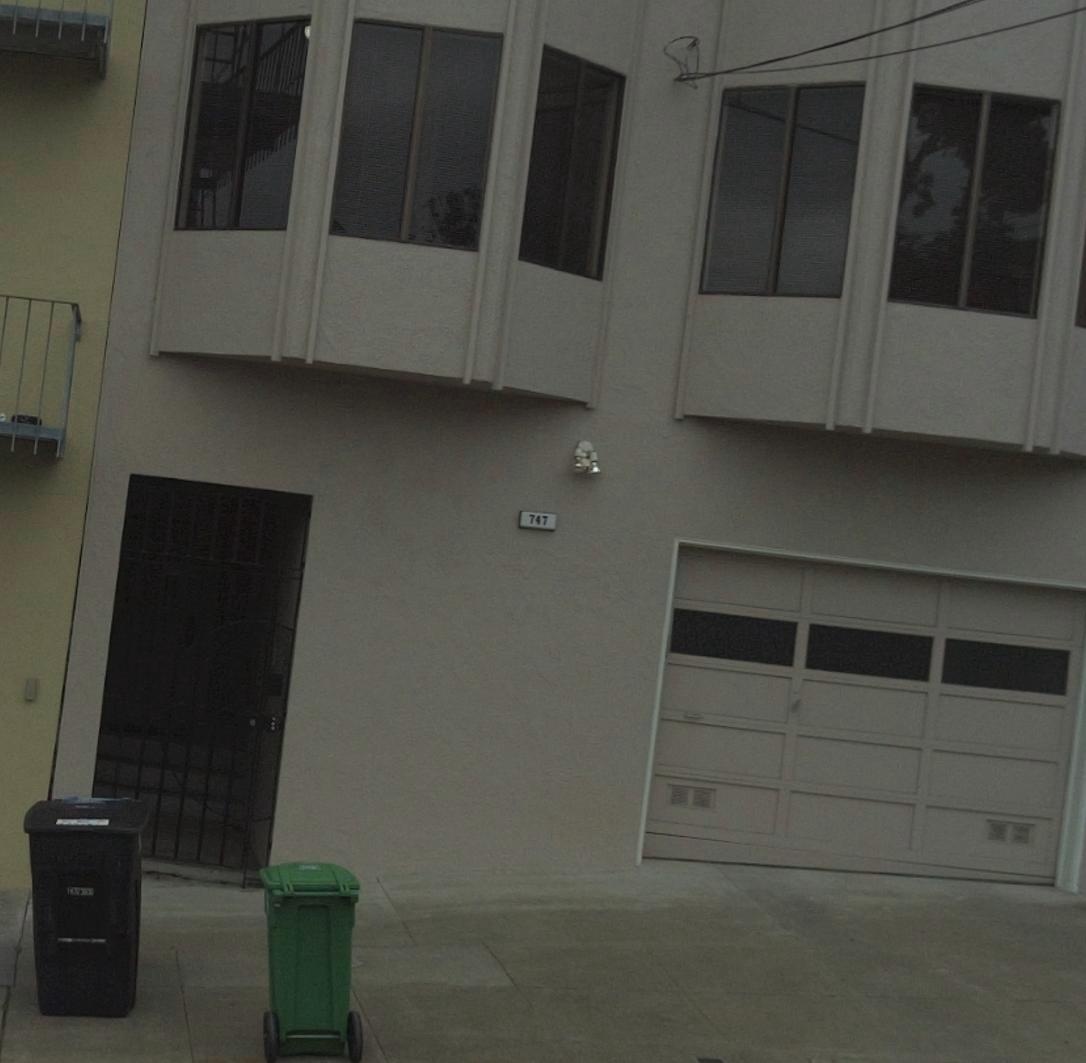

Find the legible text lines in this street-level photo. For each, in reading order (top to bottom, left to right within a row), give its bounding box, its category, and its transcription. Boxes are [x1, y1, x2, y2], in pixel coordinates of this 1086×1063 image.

[528, 513, 550, 527] StreetNumber: 747